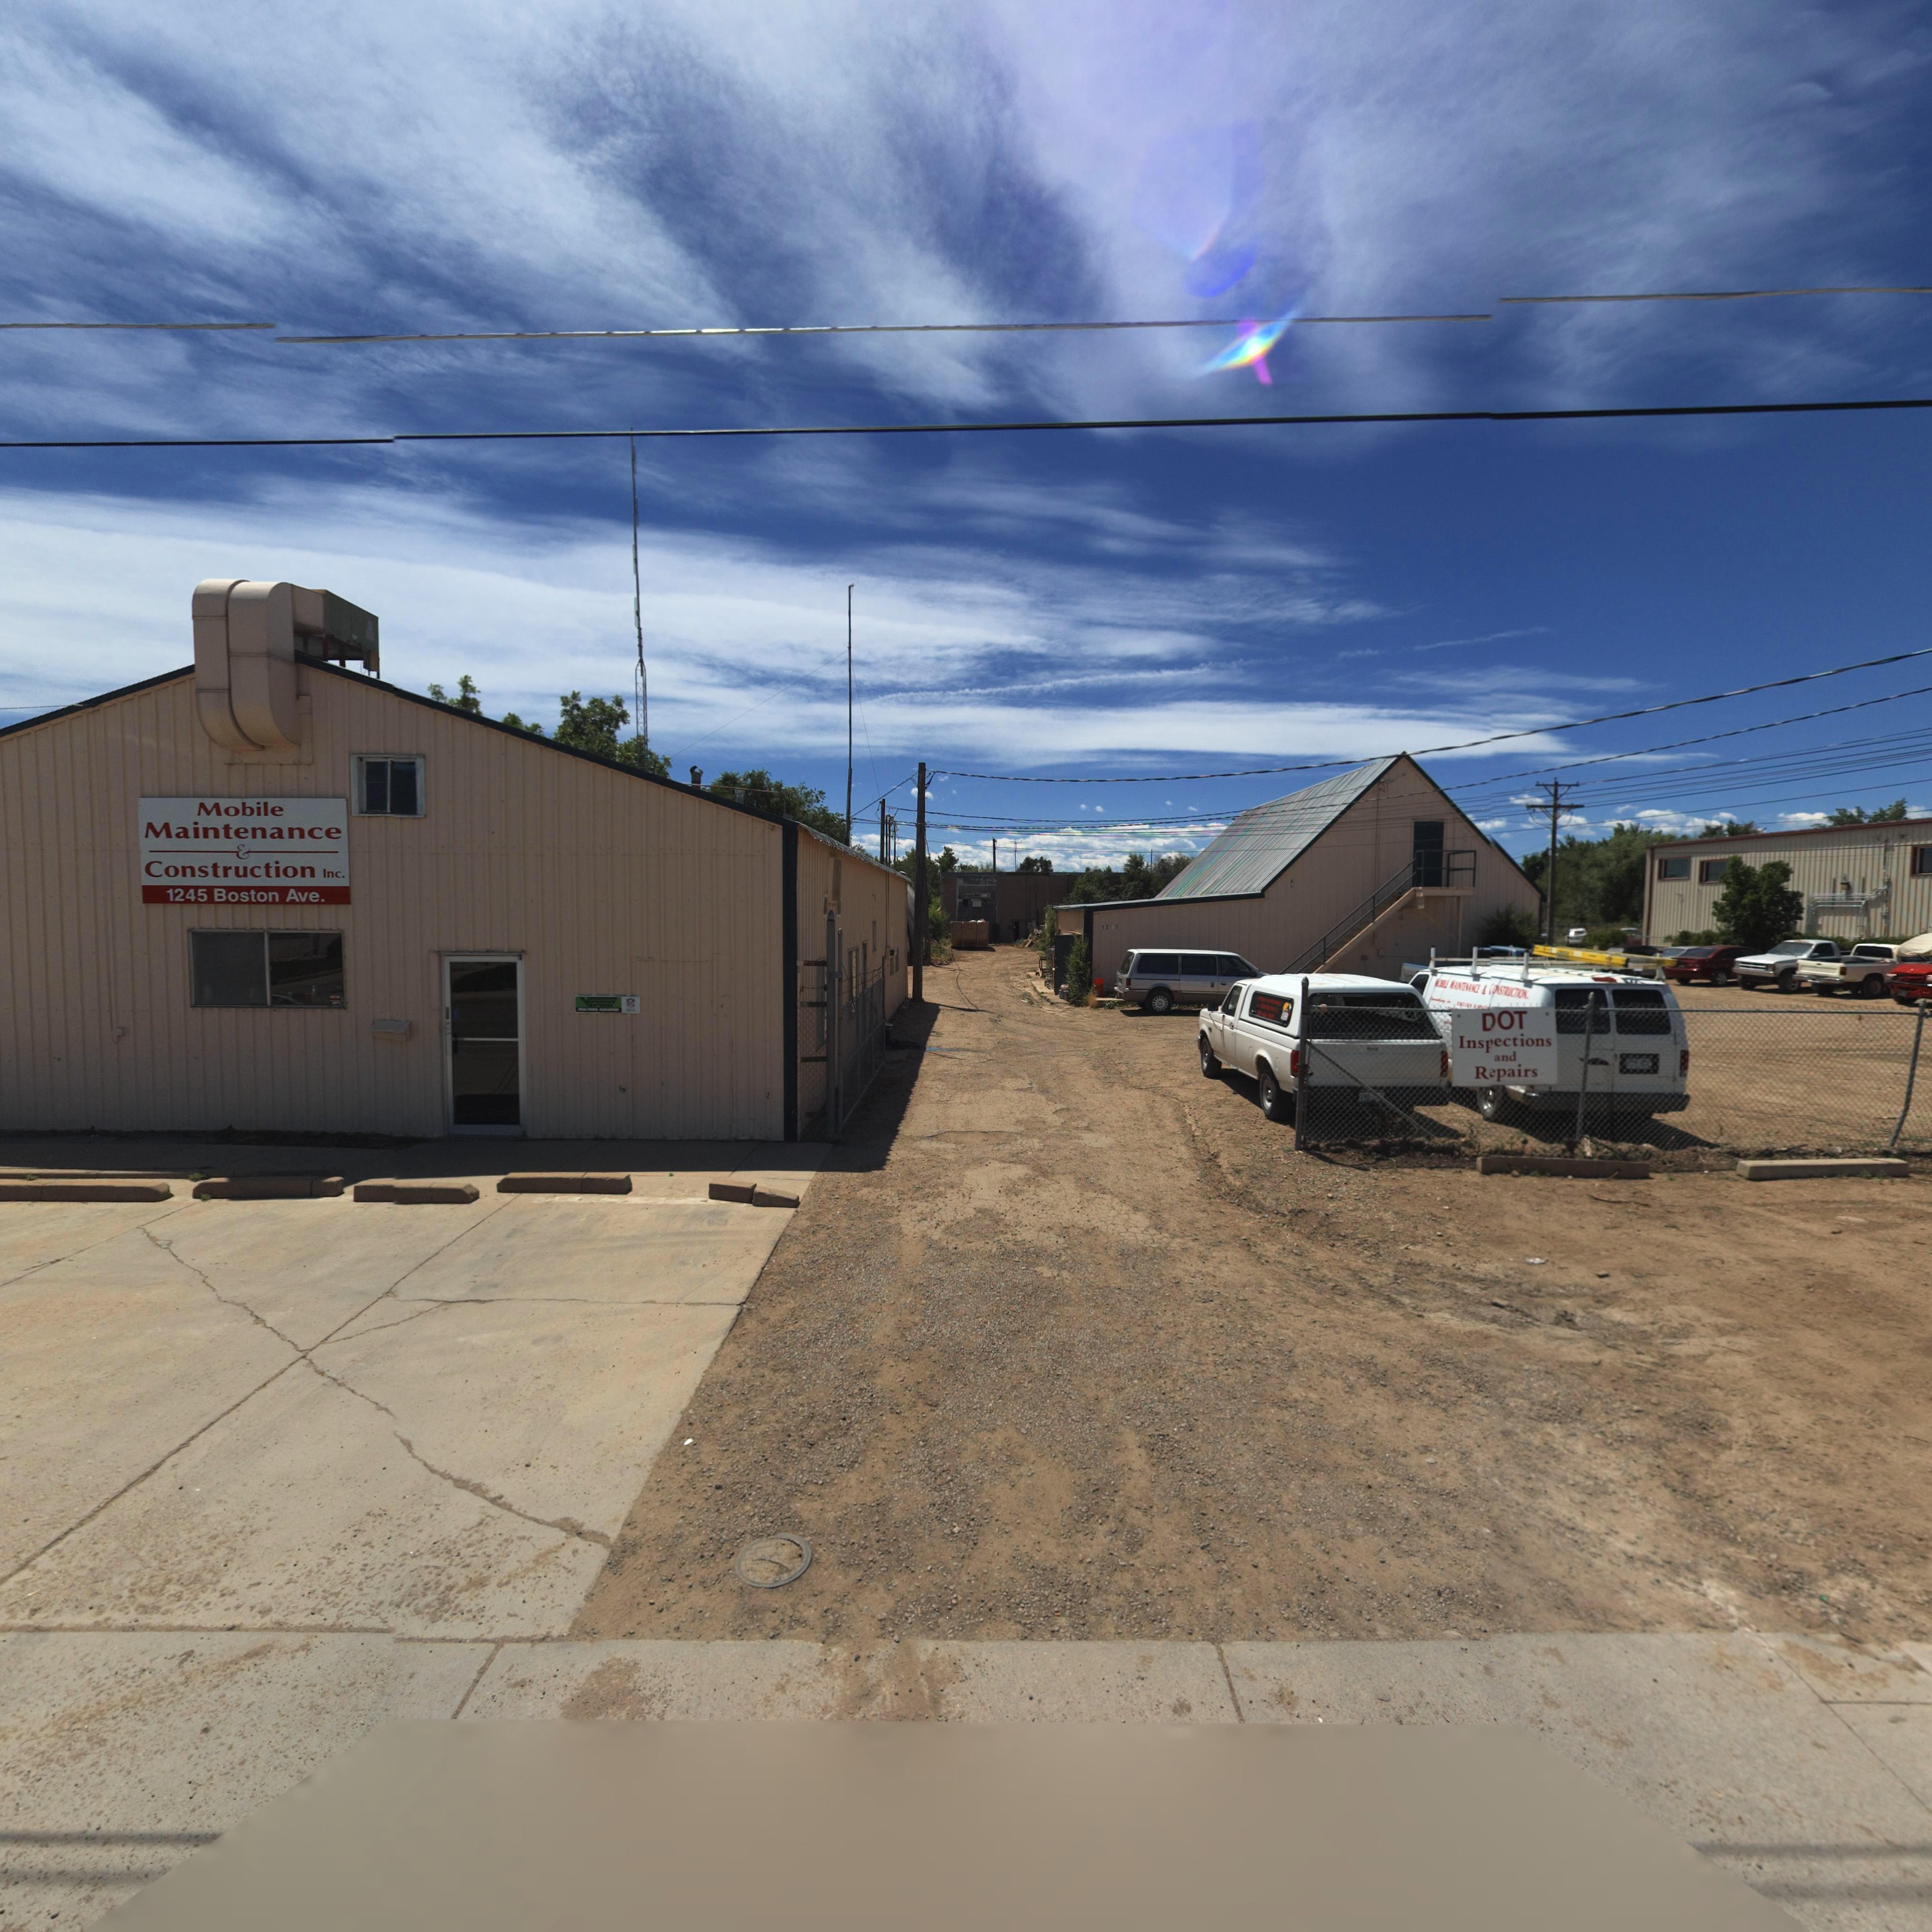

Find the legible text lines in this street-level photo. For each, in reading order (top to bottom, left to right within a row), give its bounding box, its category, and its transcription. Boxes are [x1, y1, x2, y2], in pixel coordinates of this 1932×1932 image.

[195, 801, 284, 818] BusinessName: Mobile
[142, 820, 342, 840] BusinessName: Maintenance
[143, 859, 345, 879] BusinessName: Construction
[164, 888, 208, 902] StreetNumber: 1245
[213, 888, 325, 902] StreetName: Boston Ave.
[1101, 924, 1119, 930] StreetNumber: 12*5
[1457, 1033, 1552, 1053] BusinessName: Ins*ections
[1493, 1050, 1517, 1062] BusinessName: and
[1473, 1063, 1538, 1082] BusinessName: R*pairs